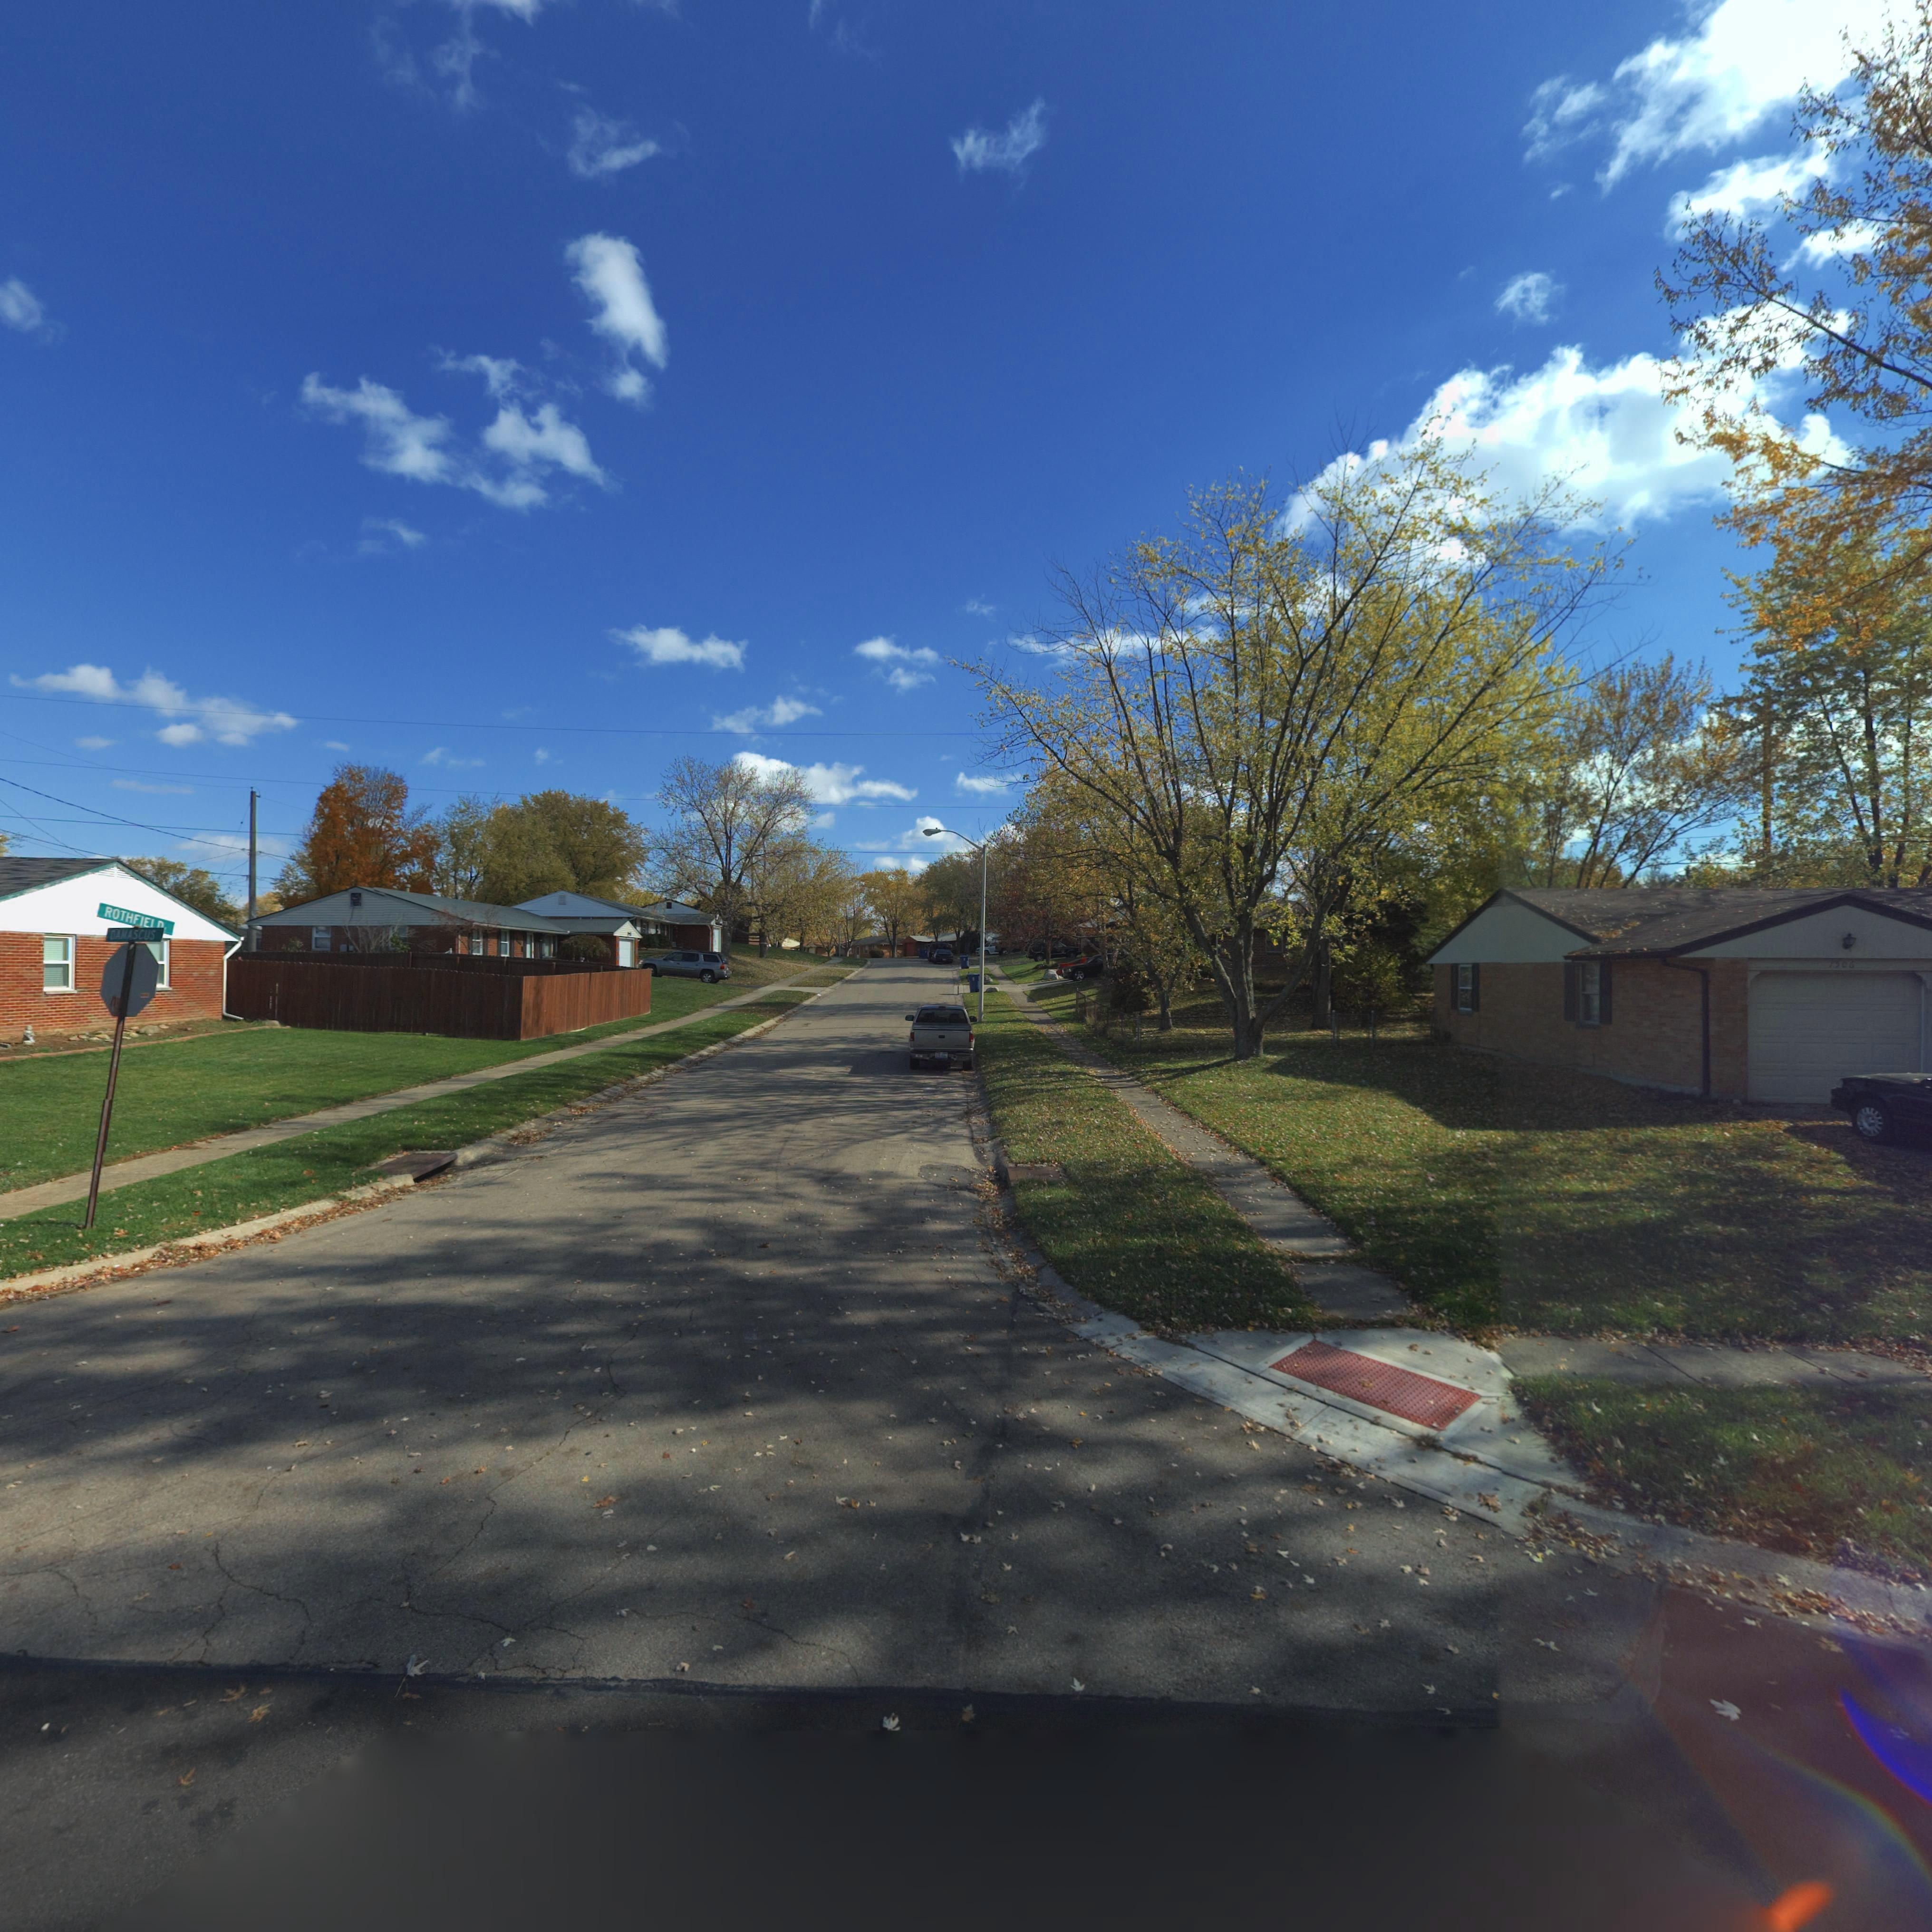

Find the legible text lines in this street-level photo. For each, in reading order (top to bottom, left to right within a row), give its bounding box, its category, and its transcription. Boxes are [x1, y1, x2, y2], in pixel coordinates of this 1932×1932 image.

[103, 904, 151, 929] StreetName: ROTHFIE
[108, 928, 157, 941] StreetName: DAMASCUS
[1827, 959, 1855, 969] StreetNumber: 7506